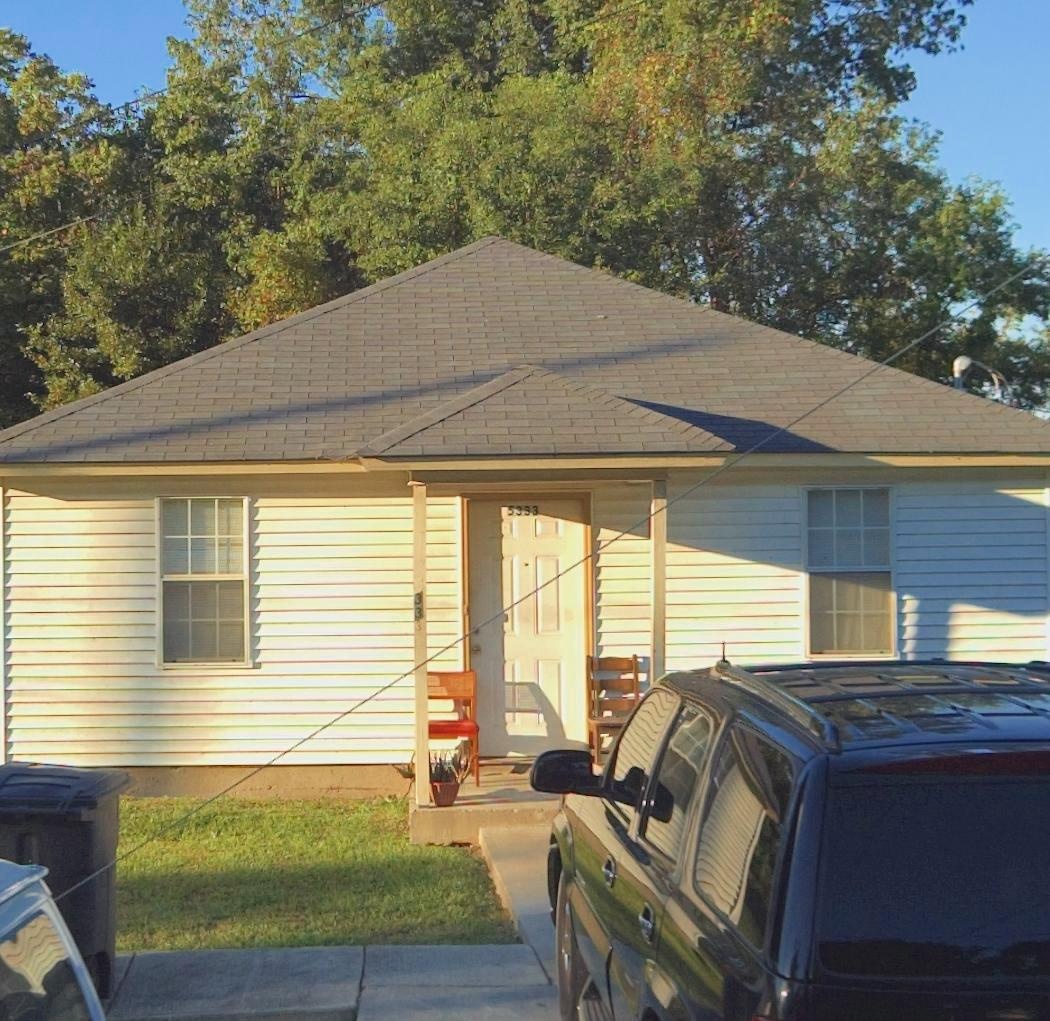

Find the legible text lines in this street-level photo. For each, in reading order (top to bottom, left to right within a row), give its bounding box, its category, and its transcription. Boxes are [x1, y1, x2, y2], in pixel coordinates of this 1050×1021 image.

[507, 504, 539, 517] StreetNumber: 5333